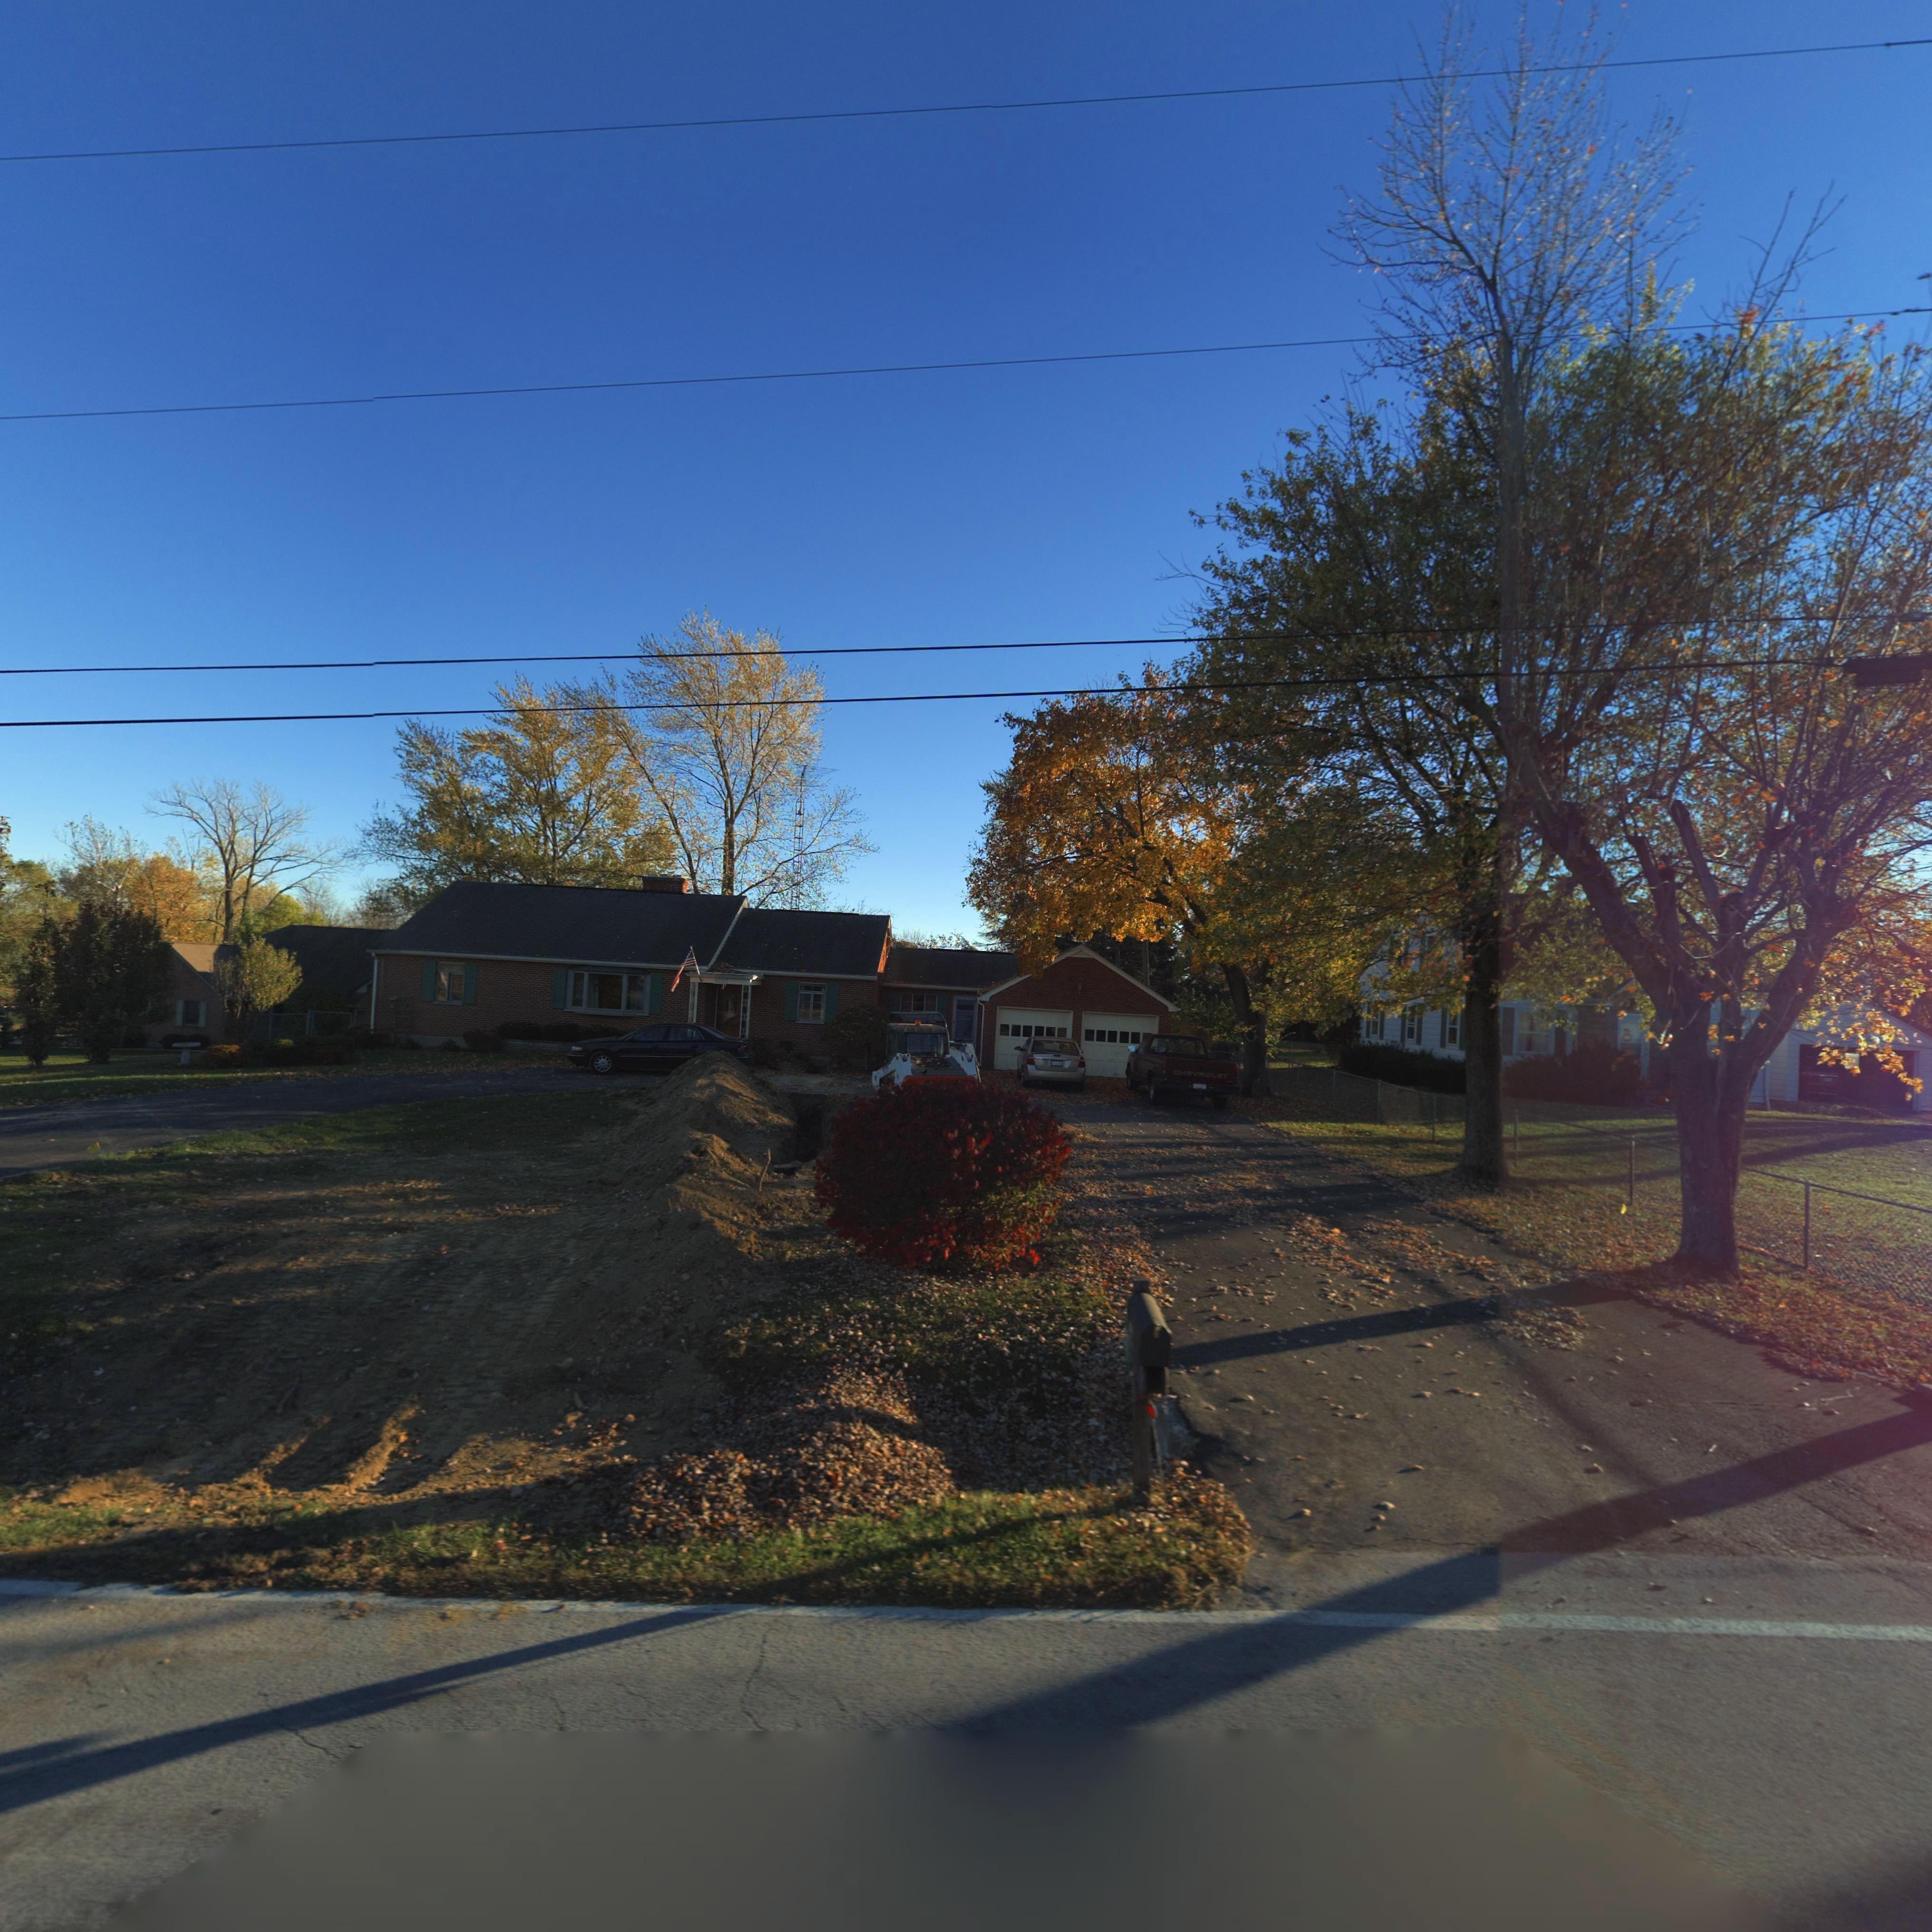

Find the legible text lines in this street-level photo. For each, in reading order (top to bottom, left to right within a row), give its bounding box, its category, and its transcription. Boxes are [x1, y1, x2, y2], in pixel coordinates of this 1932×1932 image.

[715, 978, 725, 983] StreetNumber: ***2